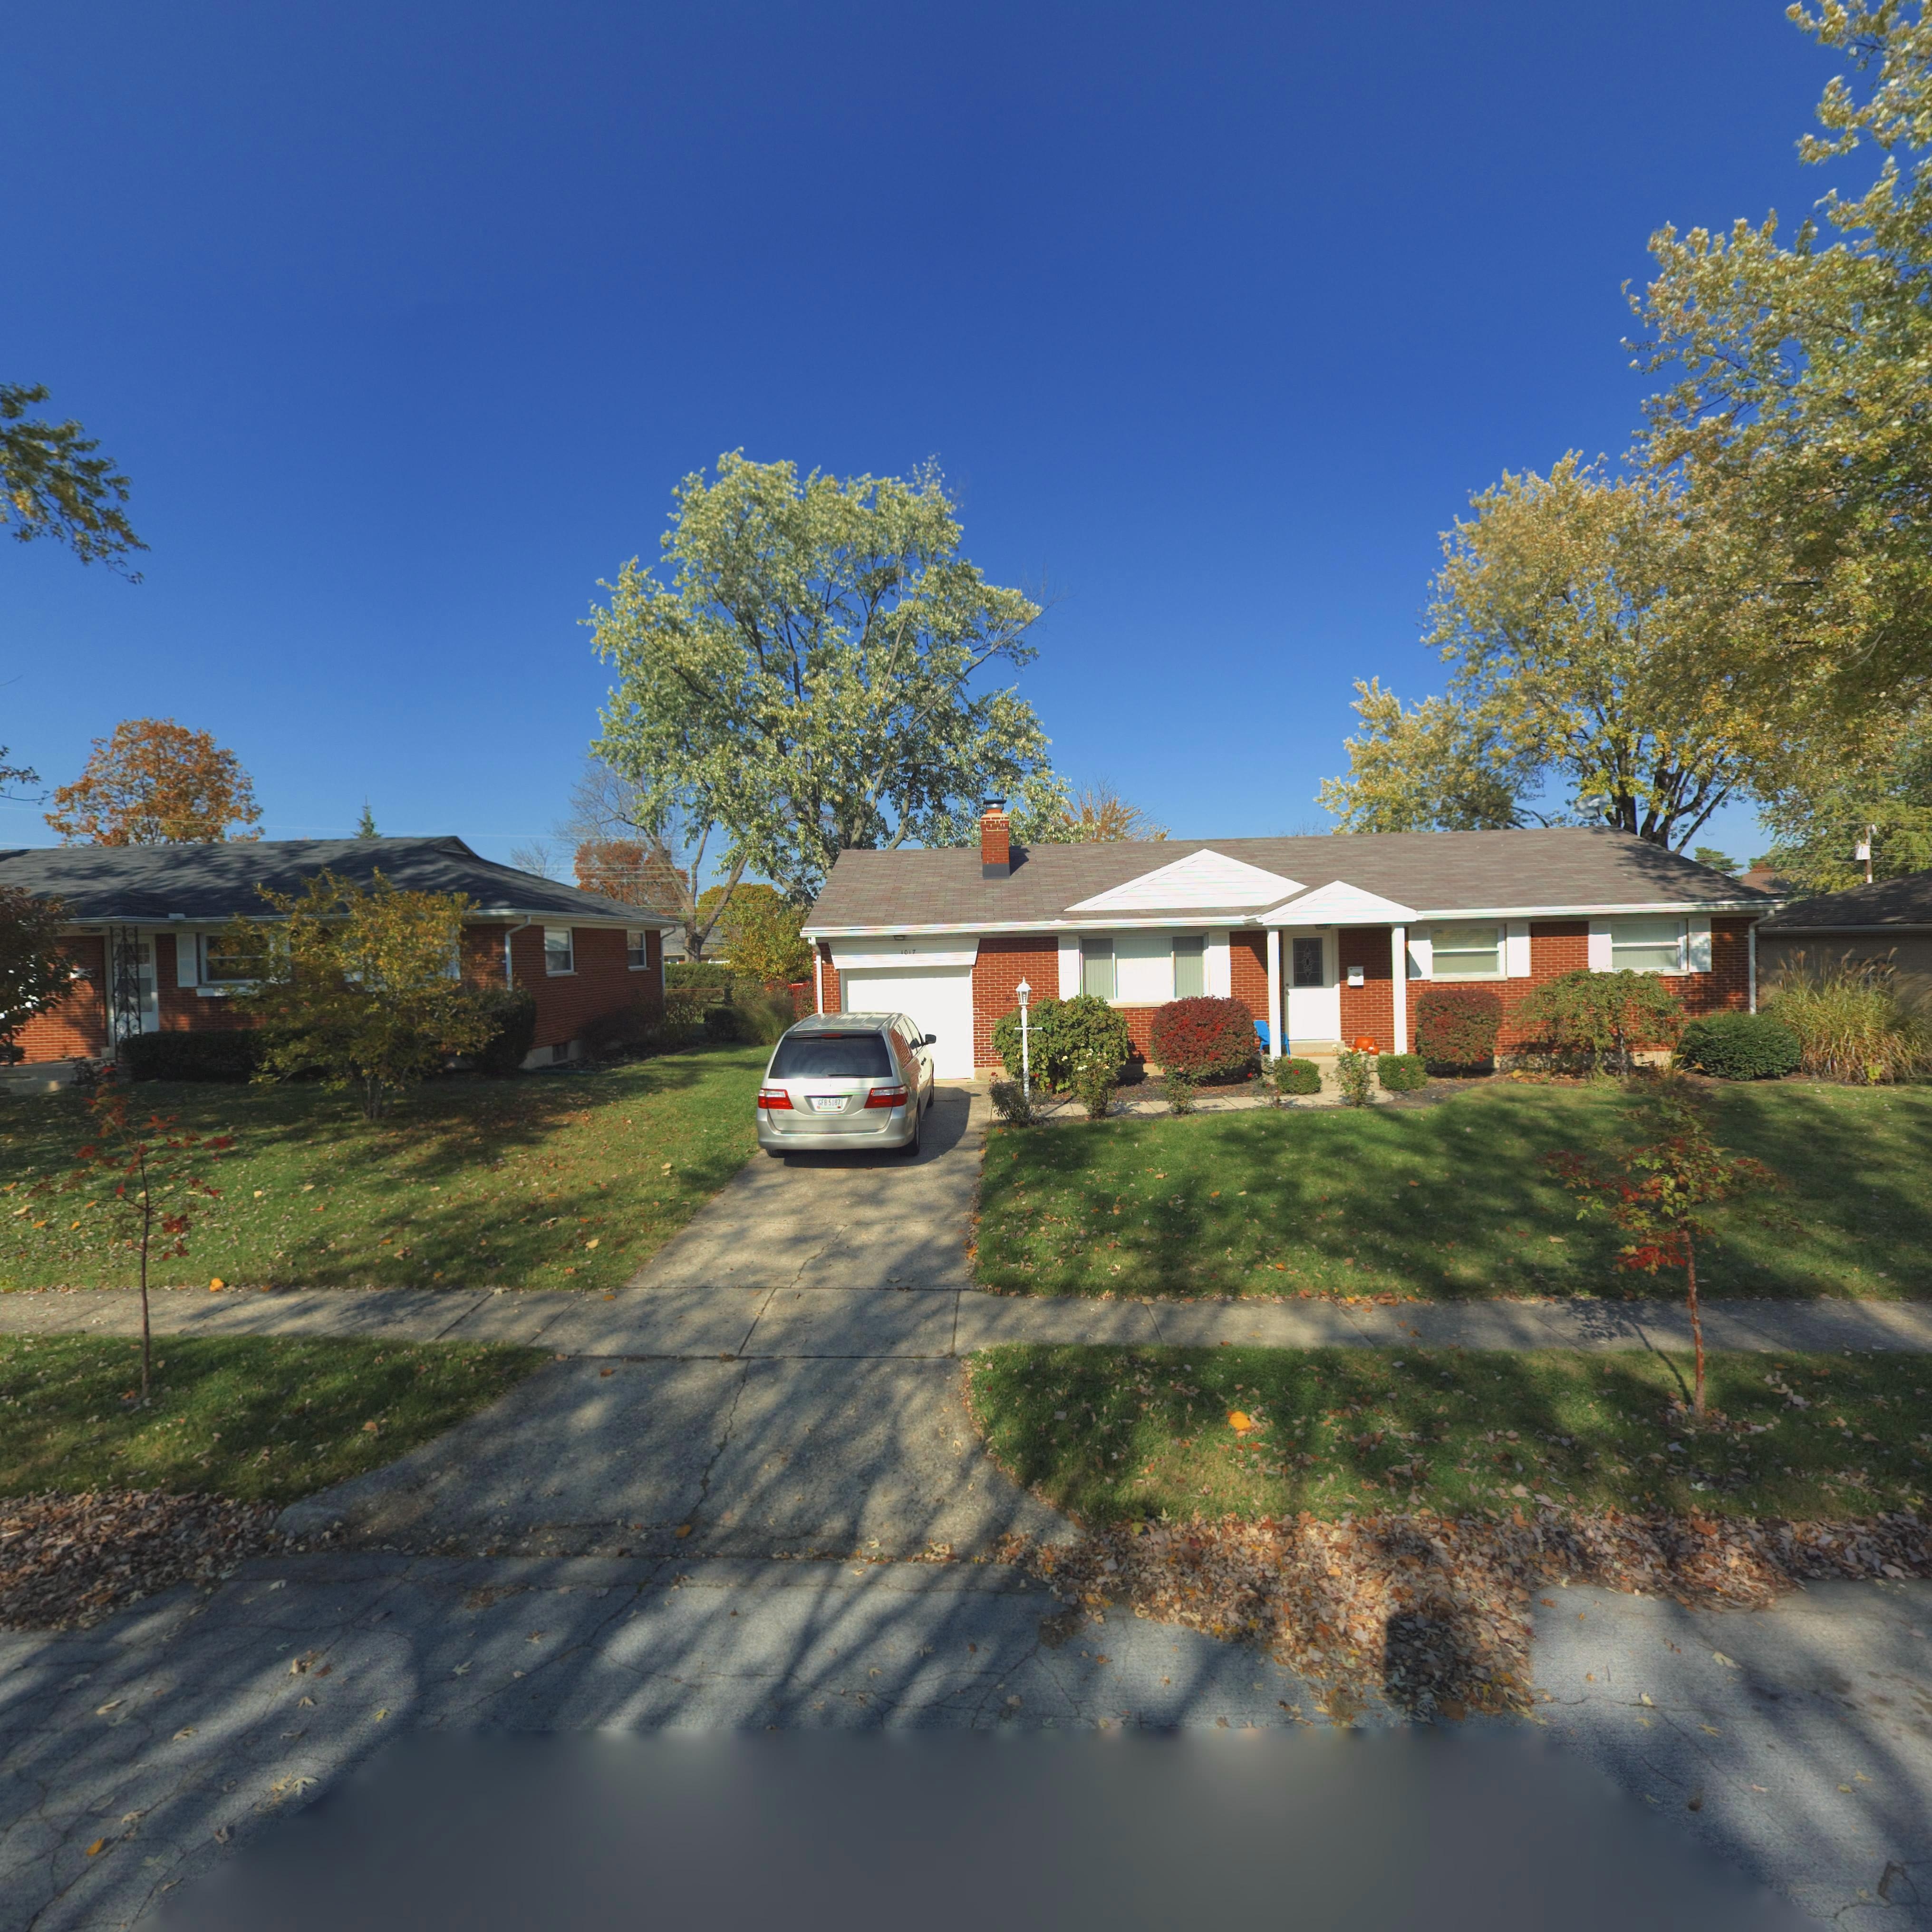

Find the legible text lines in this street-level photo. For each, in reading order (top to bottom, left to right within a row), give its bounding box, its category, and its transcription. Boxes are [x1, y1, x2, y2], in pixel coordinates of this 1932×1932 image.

[900, 948, 917, 956] StreetNumber: 1017
[817, 1098, 841, 1107] None: GFB 5187